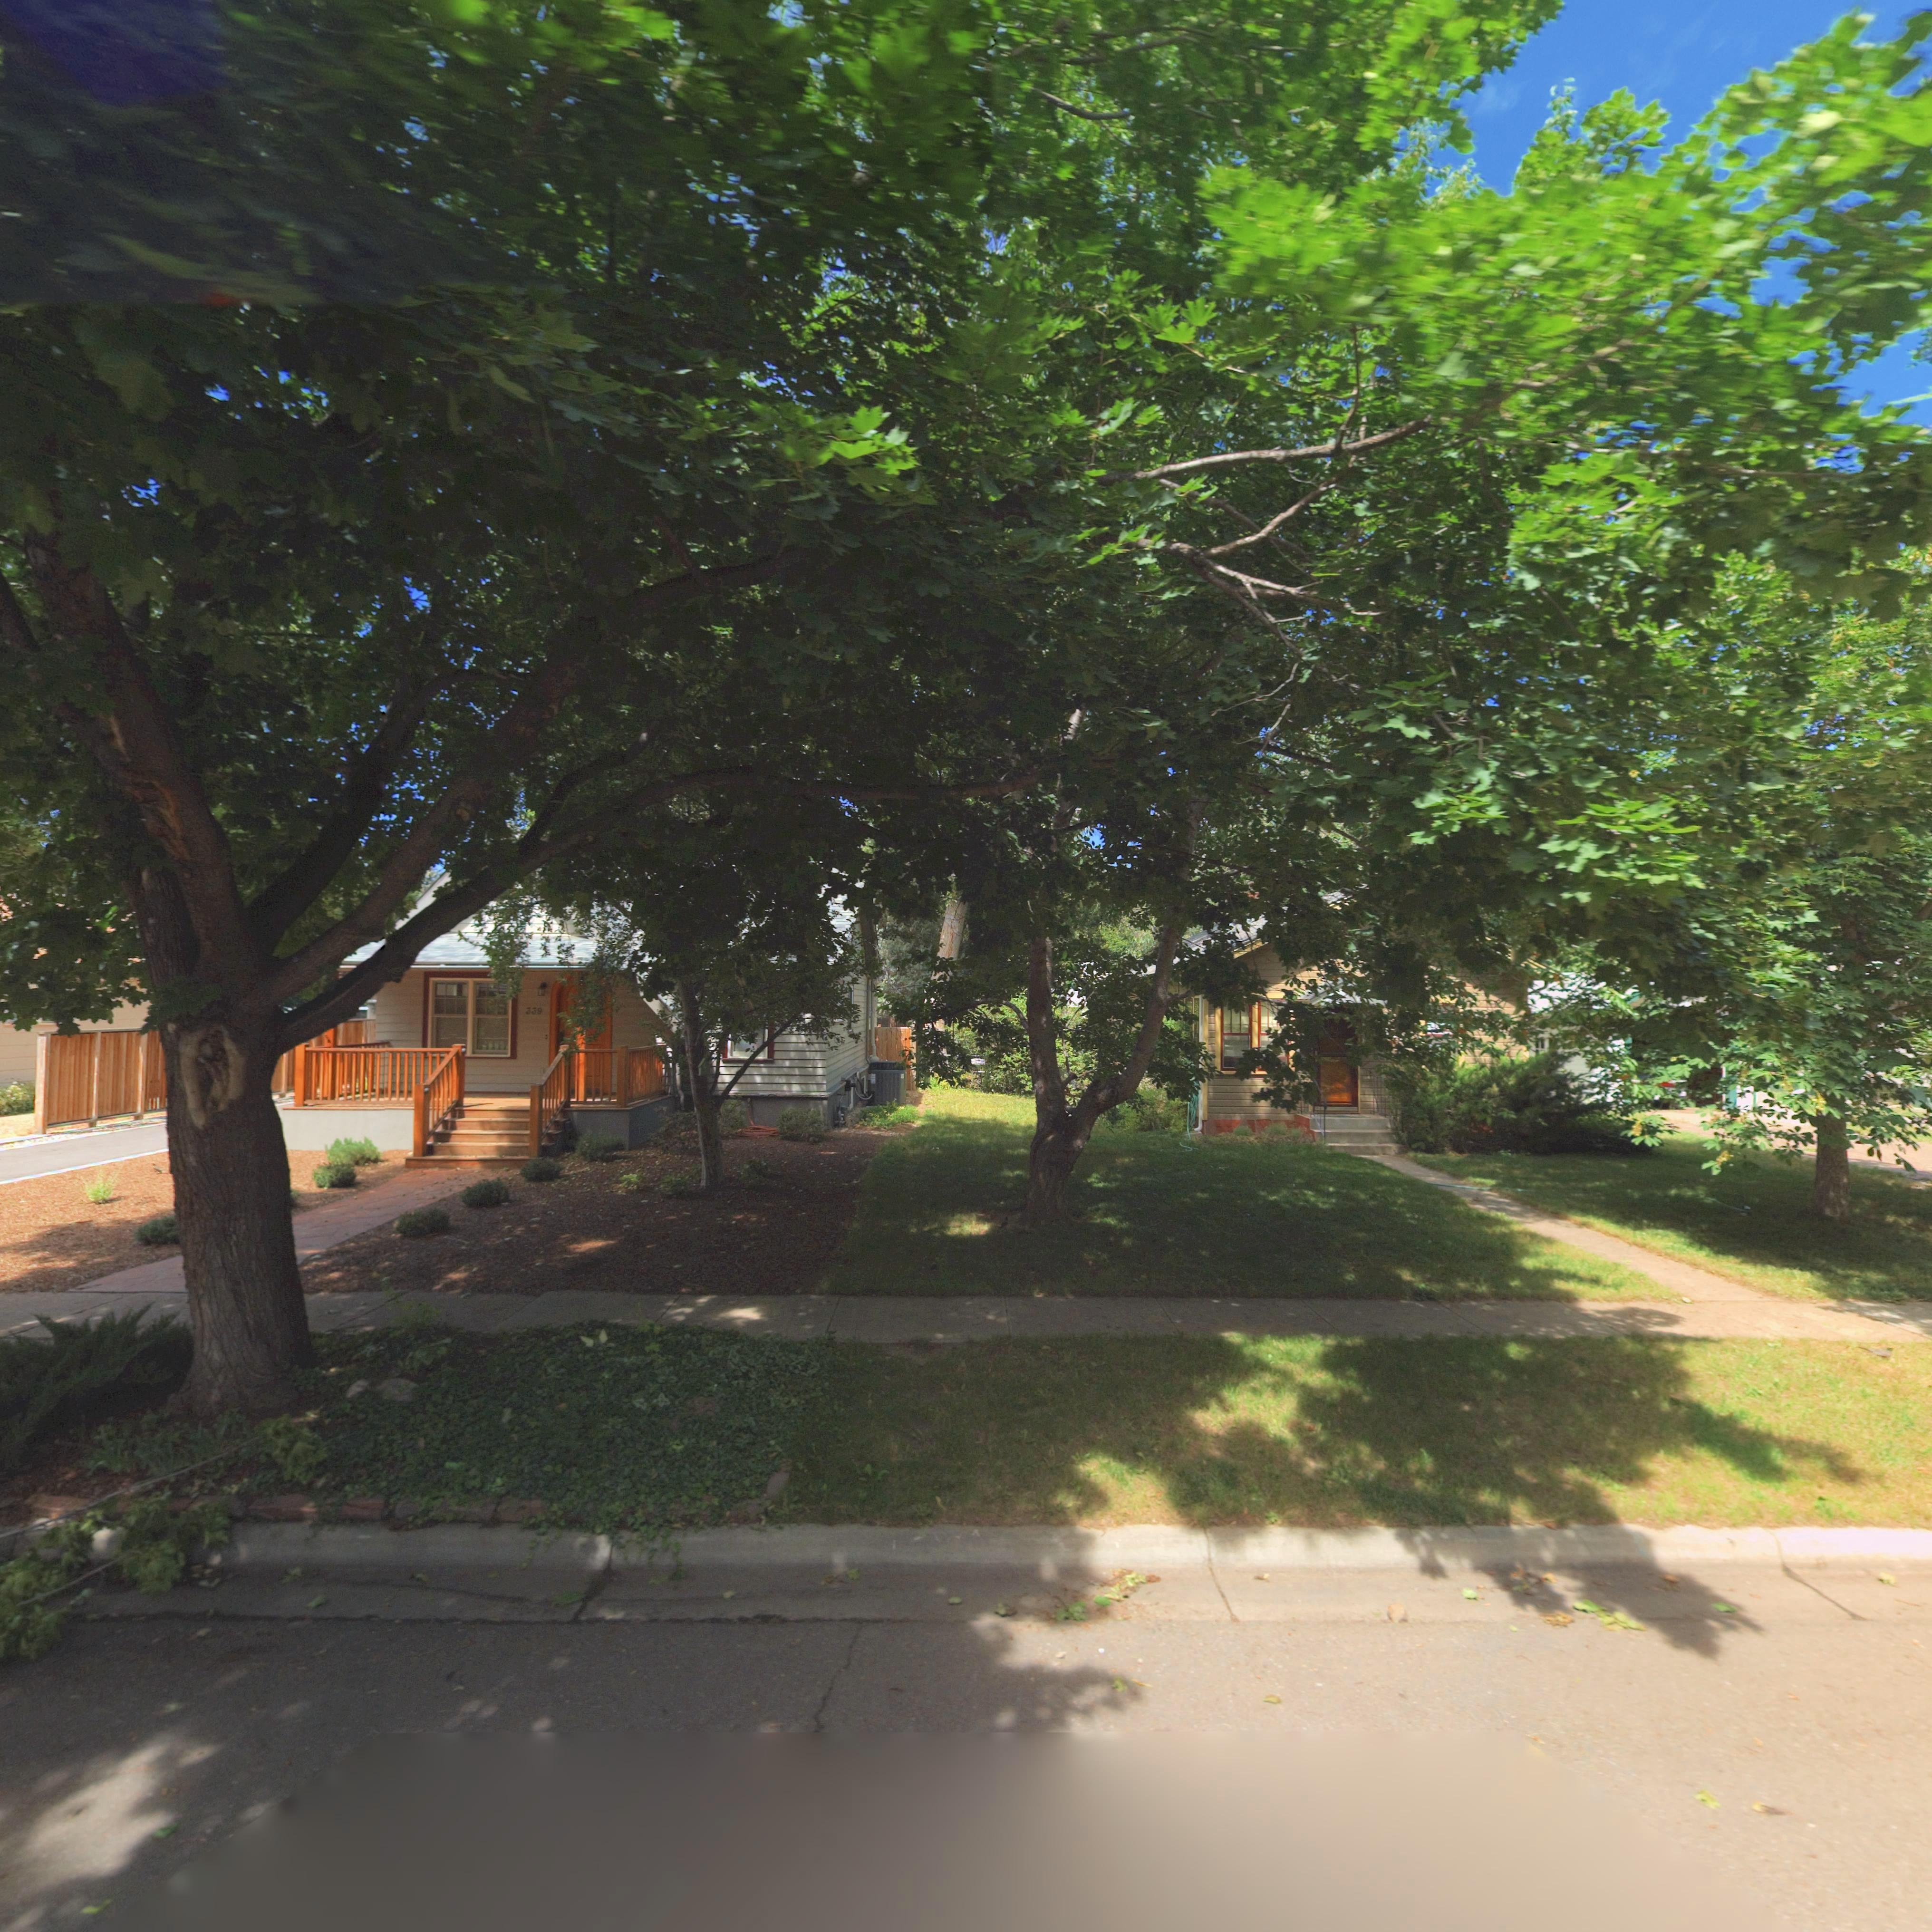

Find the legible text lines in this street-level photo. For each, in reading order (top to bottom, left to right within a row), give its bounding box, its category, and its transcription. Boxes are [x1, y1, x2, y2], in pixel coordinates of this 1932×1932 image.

[525, 1007, 542, 1014] StreetNumber: 339